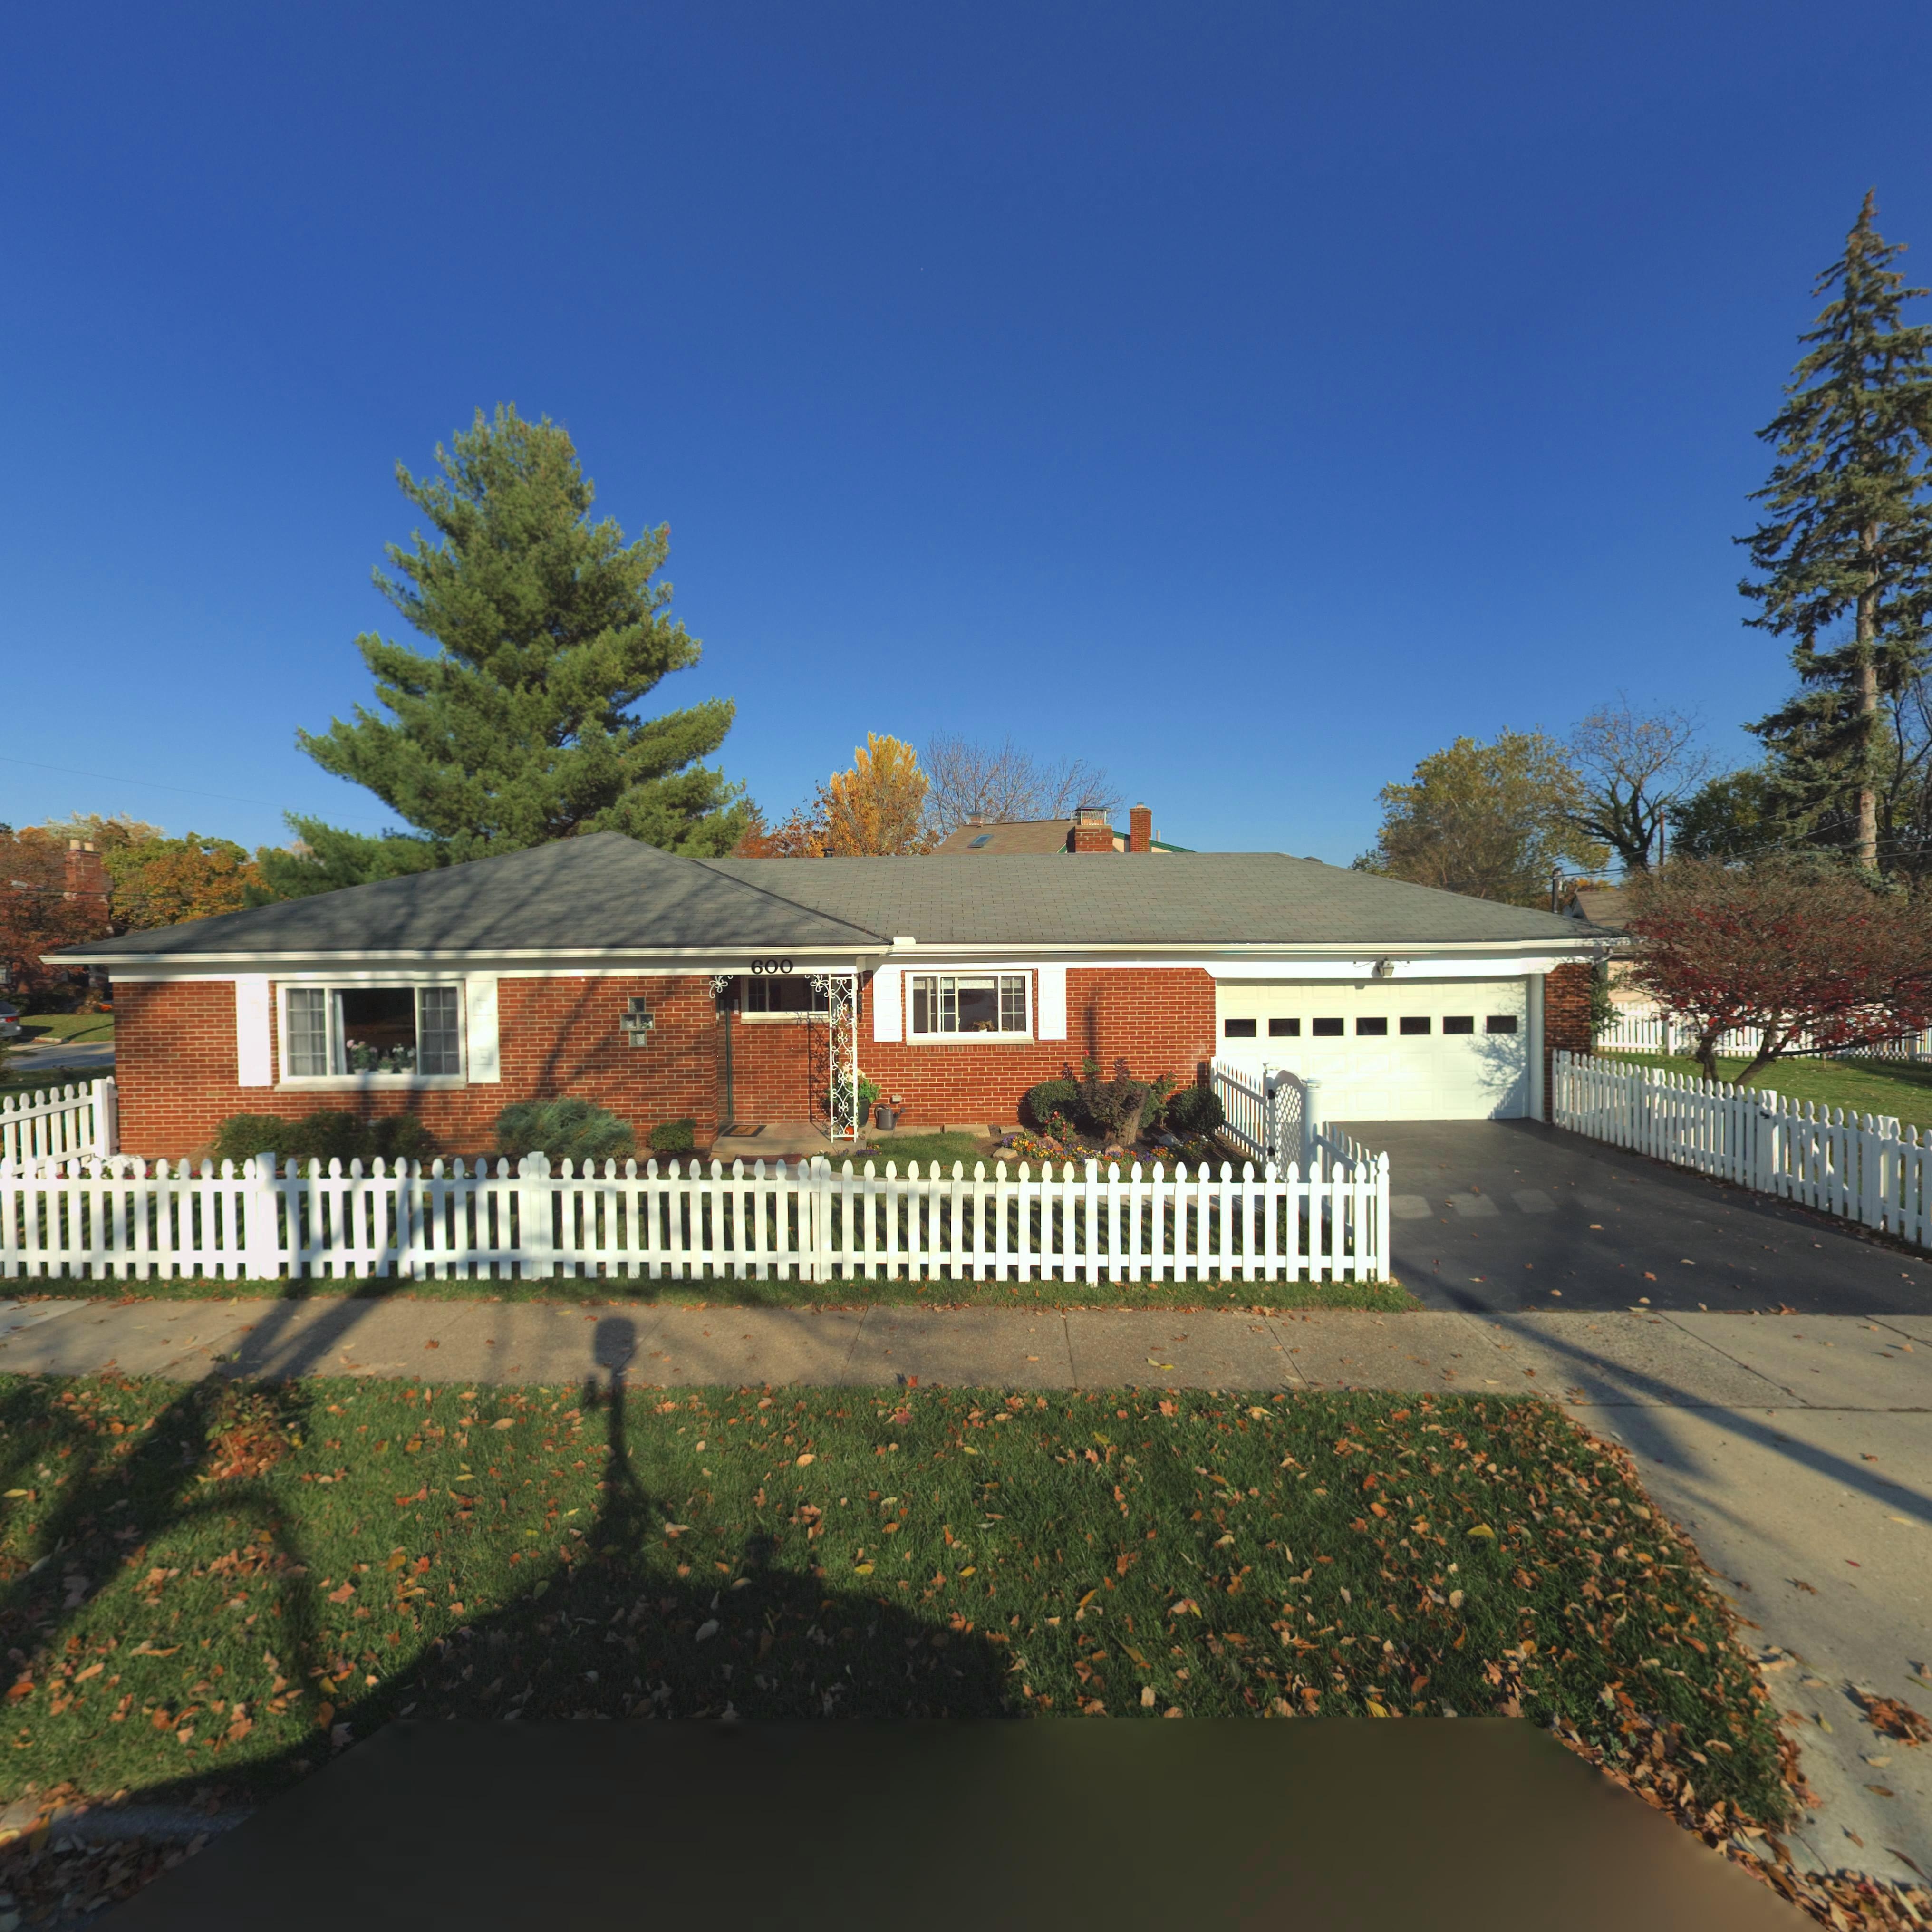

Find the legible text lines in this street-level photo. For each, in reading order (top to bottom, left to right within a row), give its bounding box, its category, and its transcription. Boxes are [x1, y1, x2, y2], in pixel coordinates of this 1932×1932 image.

[750, 958, 794, 975] StreetNumber: 600